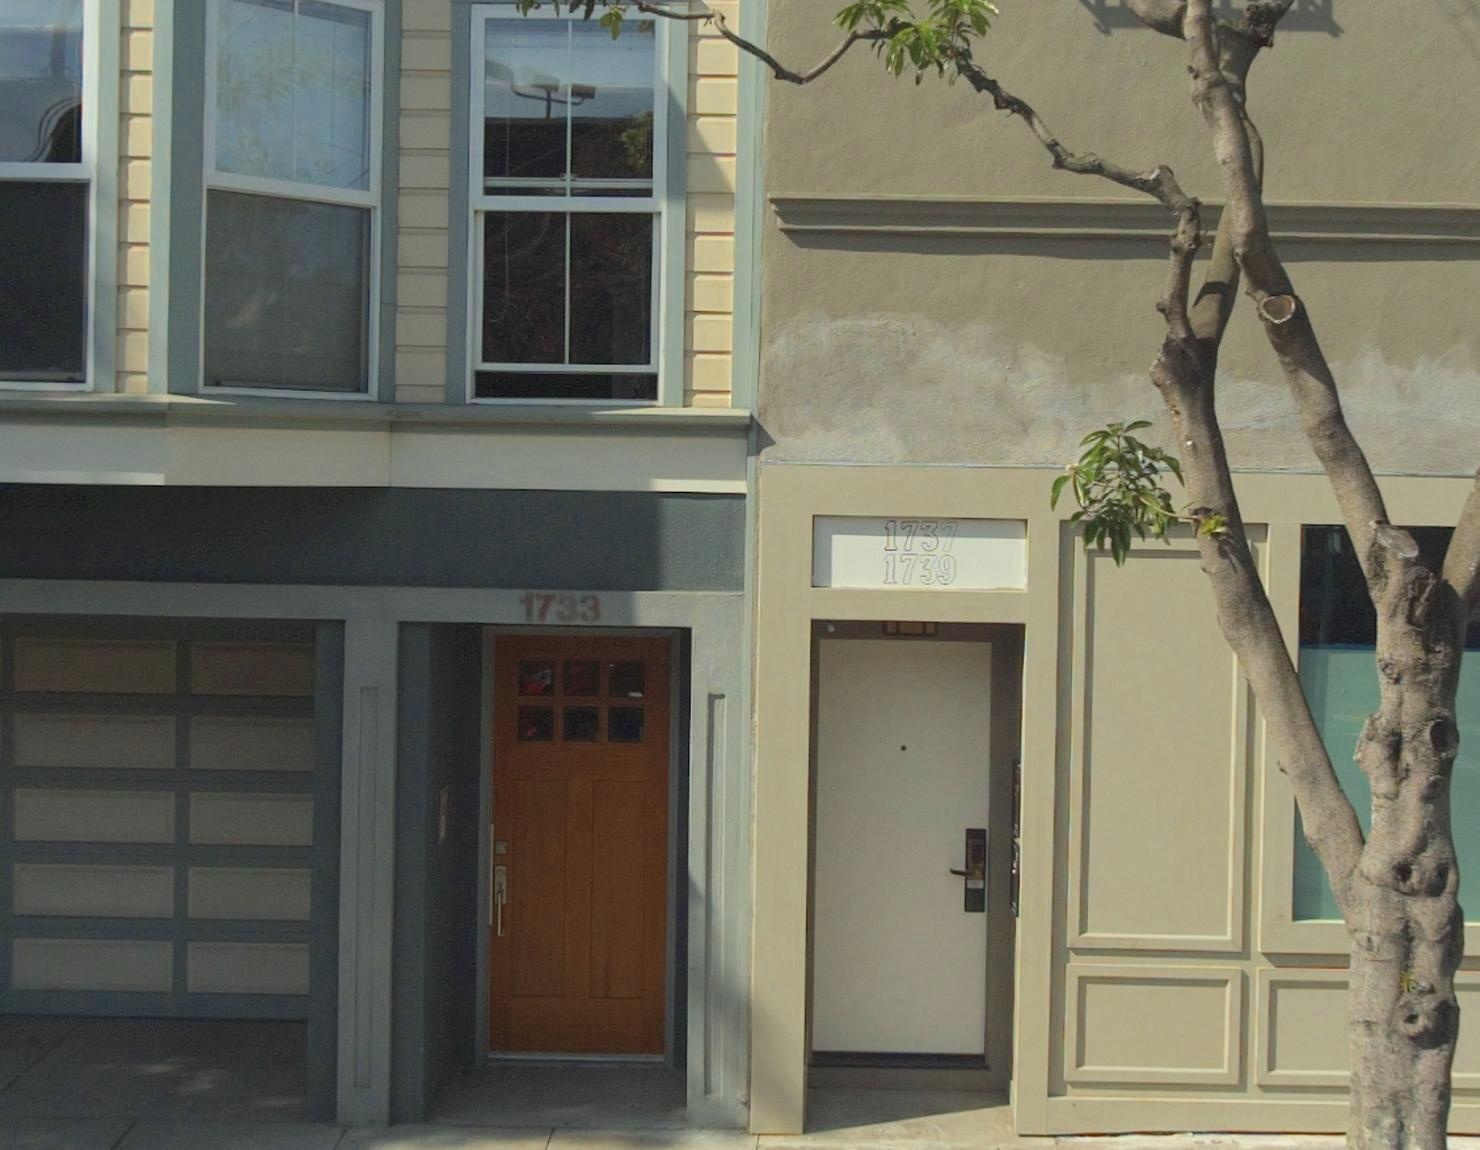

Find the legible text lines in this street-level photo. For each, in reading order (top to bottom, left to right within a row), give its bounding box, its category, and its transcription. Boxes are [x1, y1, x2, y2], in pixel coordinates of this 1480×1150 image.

[883, 519, 961, 553] StreetNumber: 1737
[882, 552, 958, 587] StreetNumber: 1739
[518, 590, 603, 627] StreetNumber: 1733